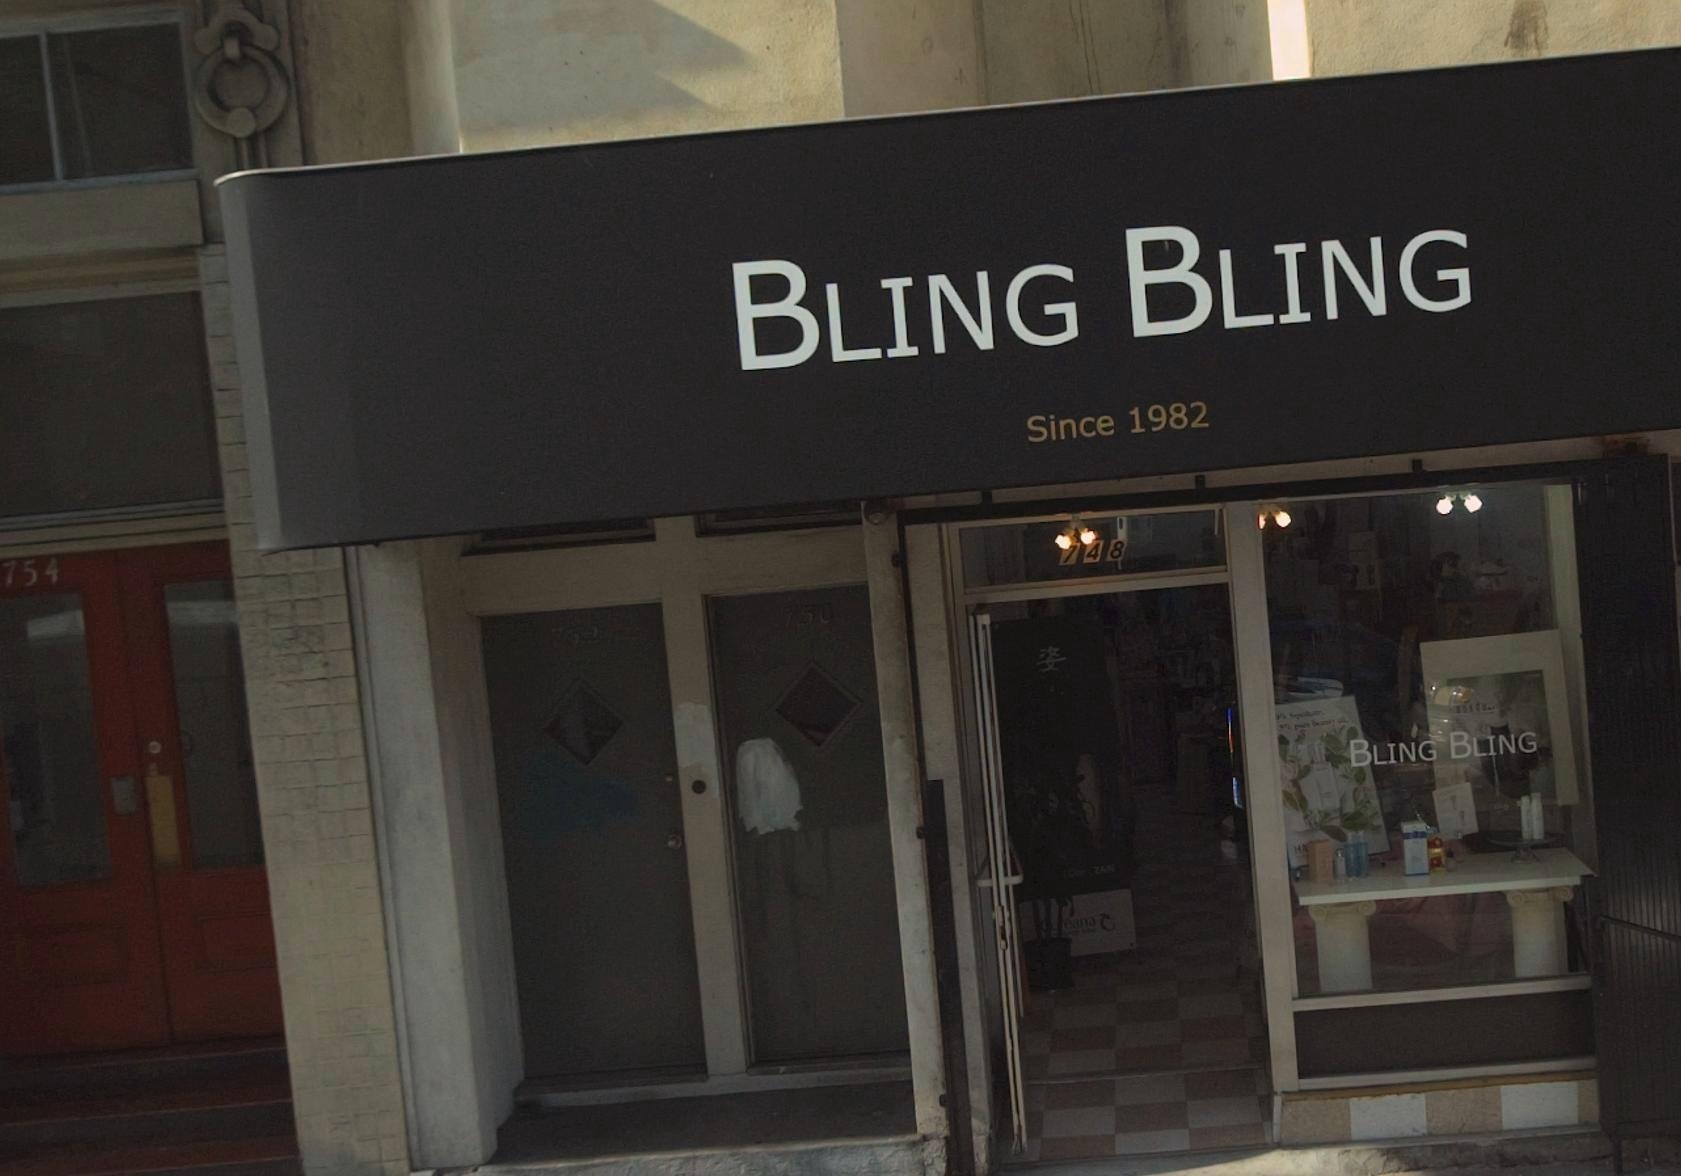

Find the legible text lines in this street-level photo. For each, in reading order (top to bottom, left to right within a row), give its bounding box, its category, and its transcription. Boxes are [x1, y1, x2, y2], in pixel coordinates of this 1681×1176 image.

[730, 223, 1473, 374] BusinessName: BLING BLING
[1025, 400, 1210, 444] None: Since 1982
[1059, 538, 1130, 565] StreetNumber: 748
[1, 554, 61, 589] StreetNumber: 754
[777, 601, 833, 630] StreetNumber: 750
[547, 621, 602, 653] StreetNumber: 752
[1349, 730, 1538, 768] BusinessName: BLING BLING
[1091, 862, 1116, 877] None: ZAN
[1063, 914, 1097, 931] None: eana